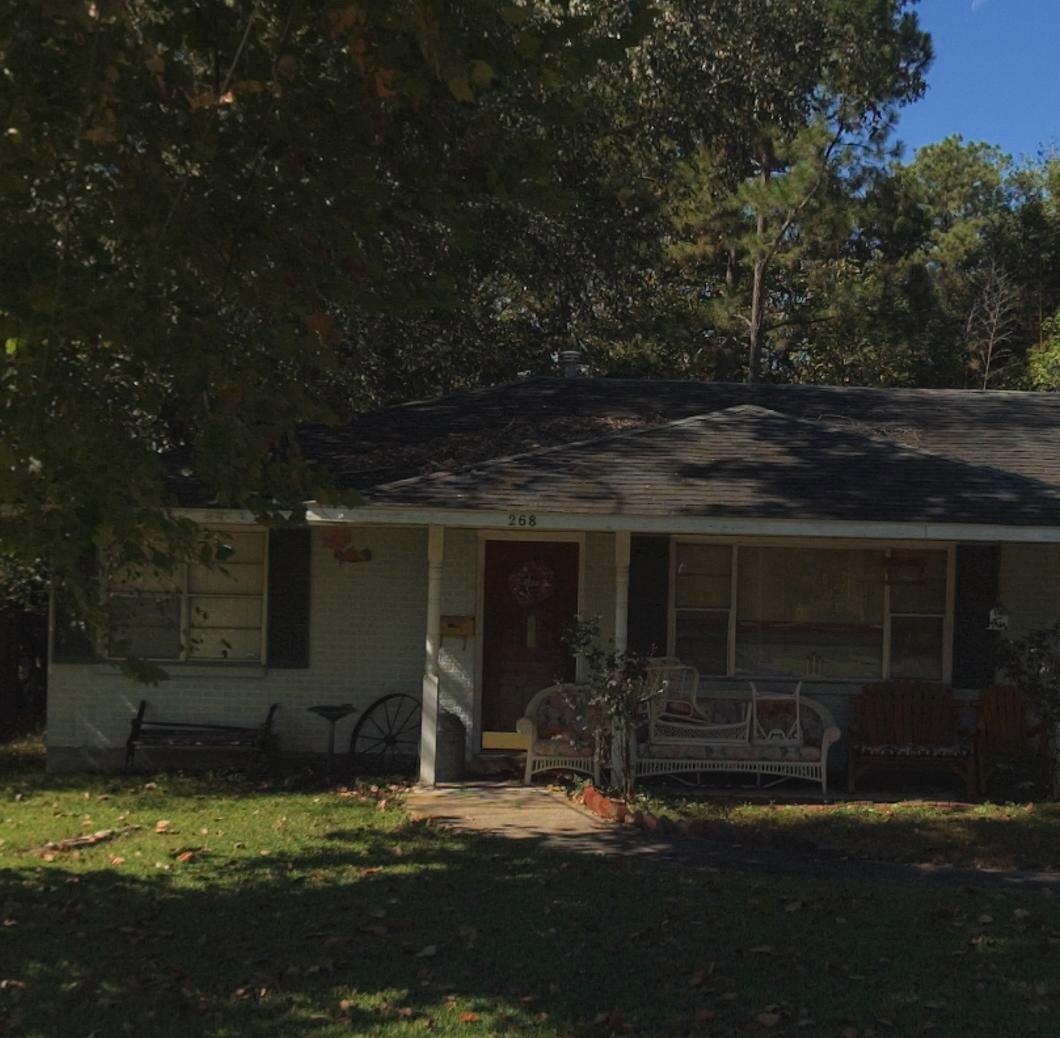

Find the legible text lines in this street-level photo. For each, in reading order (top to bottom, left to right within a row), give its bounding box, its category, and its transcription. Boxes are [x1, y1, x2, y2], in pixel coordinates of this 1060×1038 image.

[506, 512, 538, 529] StreetNumber: 268